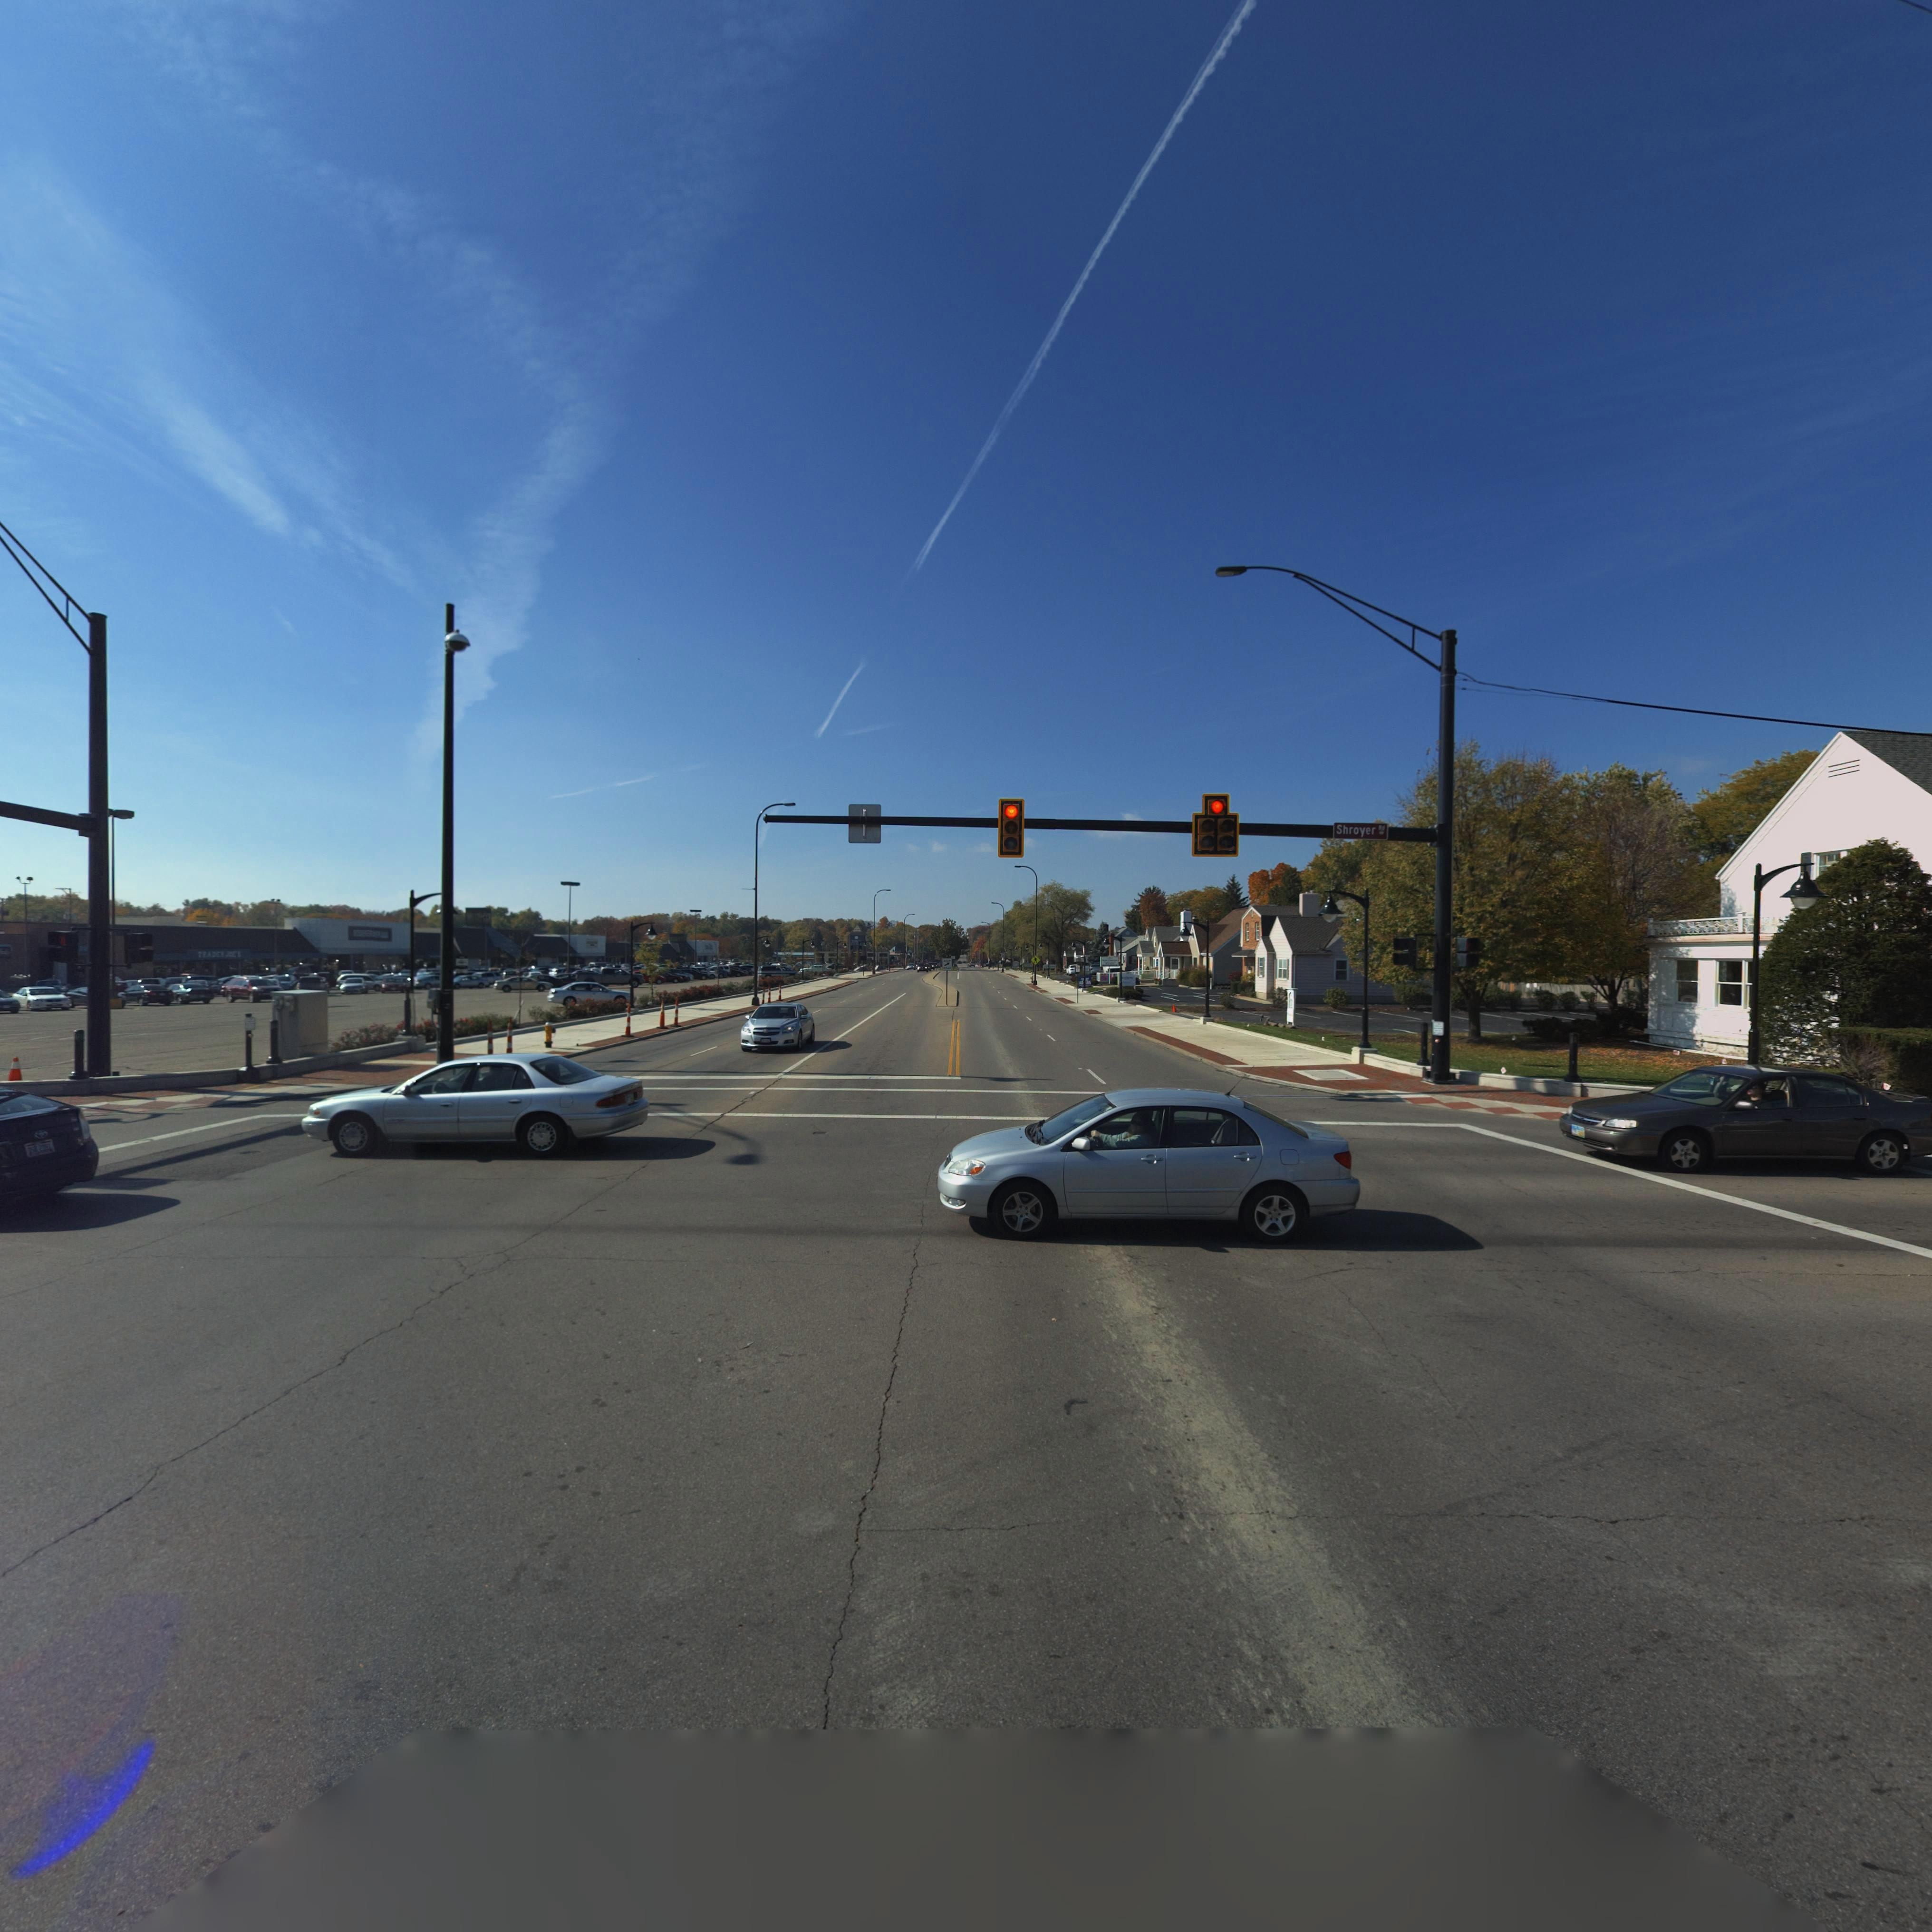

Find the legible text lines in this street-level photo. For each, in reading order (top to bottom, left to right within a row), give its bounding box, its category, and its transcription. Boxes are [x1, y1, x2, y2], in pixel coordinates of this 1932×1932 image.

[1335, 824, 1376, 838] StreetName: Shroyer
[197, 951, 236, 958] BusinessName: TRADER JOE